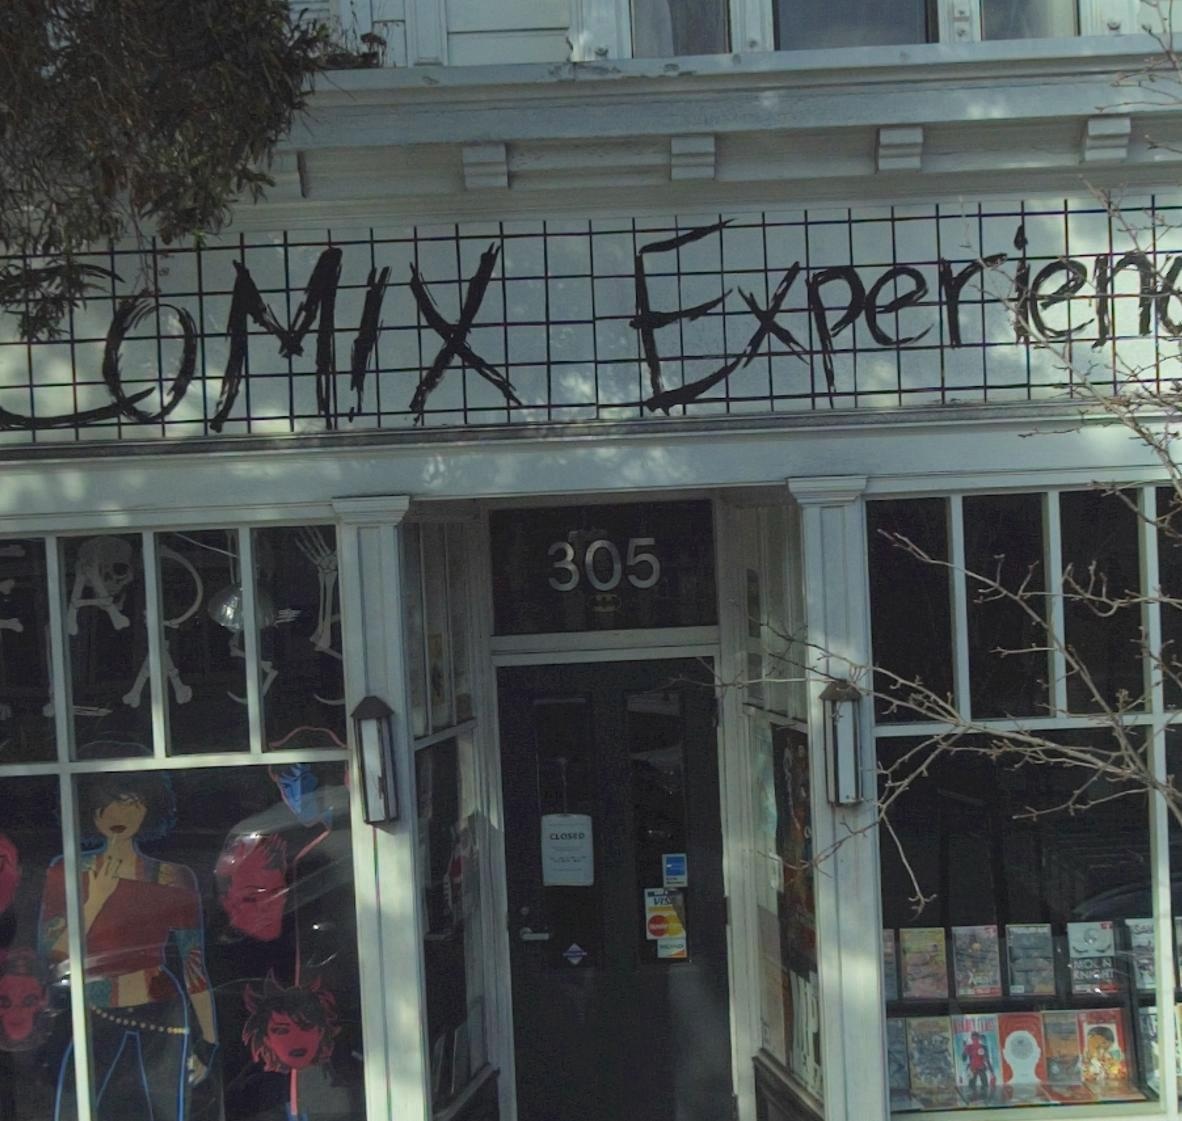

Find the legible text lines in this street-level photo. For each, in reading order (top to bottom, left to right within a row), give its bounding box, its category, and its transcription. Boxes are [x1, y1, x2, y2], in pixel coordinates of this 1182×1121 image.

[88, 203, 1168, 442] BusinessName: OMIX Experien
[59, 551, 134, 639] None: A
[542, 530, 666, 599] StreetNumber: 305
[547, 830, 587, 842] None: CLOSED
[650, 894, 672, 907] None: VIS